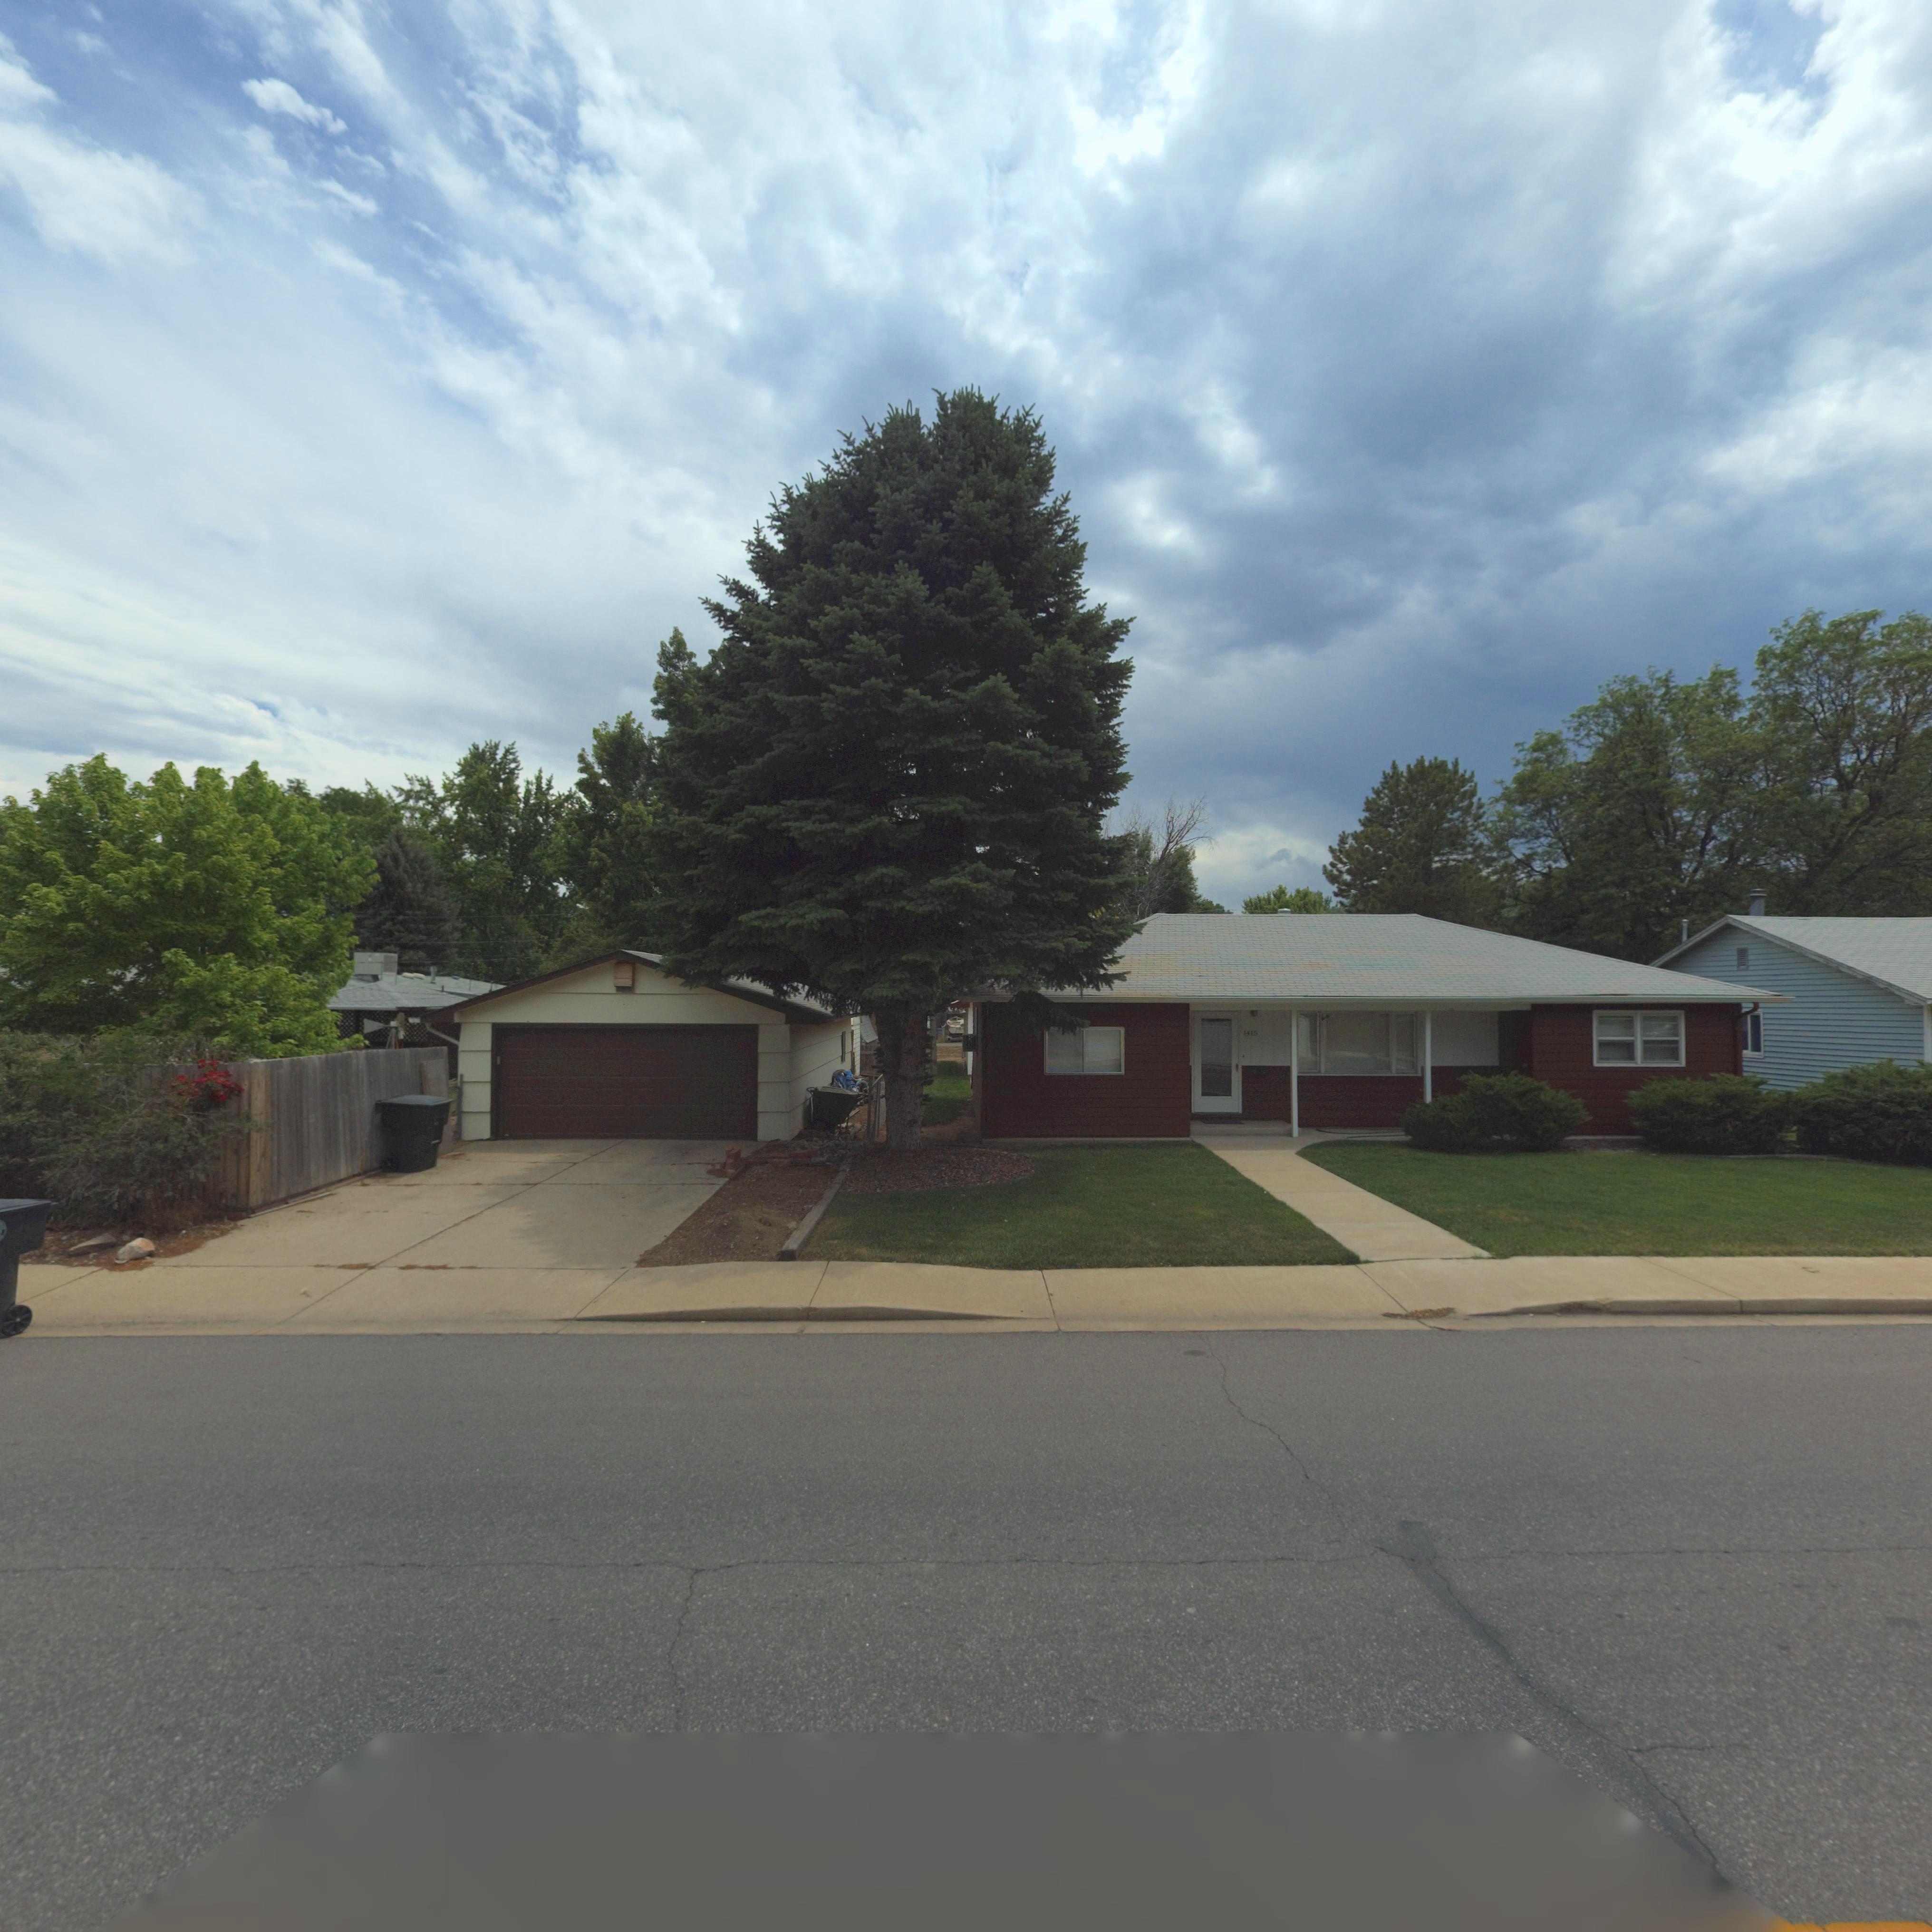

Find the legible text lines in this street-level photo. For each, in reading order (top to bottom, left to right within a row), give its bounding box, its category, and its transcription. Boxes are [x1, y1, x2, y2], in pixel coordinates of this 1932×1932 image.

[1243, 1030, 1257, 1036] StreetNumber: 1415